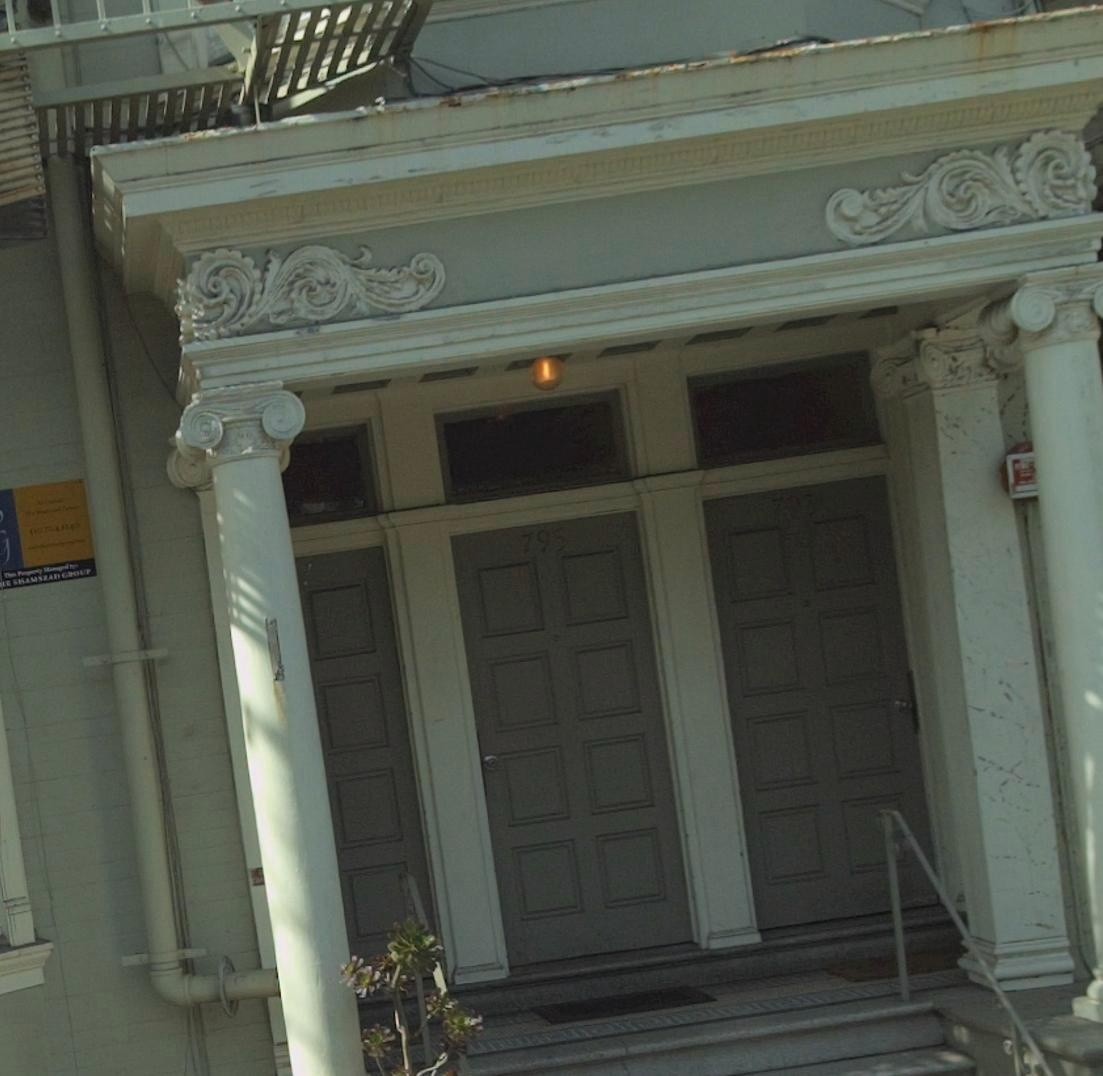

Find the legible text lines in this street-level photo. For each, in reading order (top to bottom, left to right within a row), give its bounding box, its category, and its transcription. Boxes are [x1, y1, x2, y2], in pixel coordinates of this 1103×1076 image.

[768, 490, 819, 523] StreetNumber: 7**
[517, 523, 570, 558] StreetNumber: 795
[298, 559, 316, 589] StreetNumber: 7